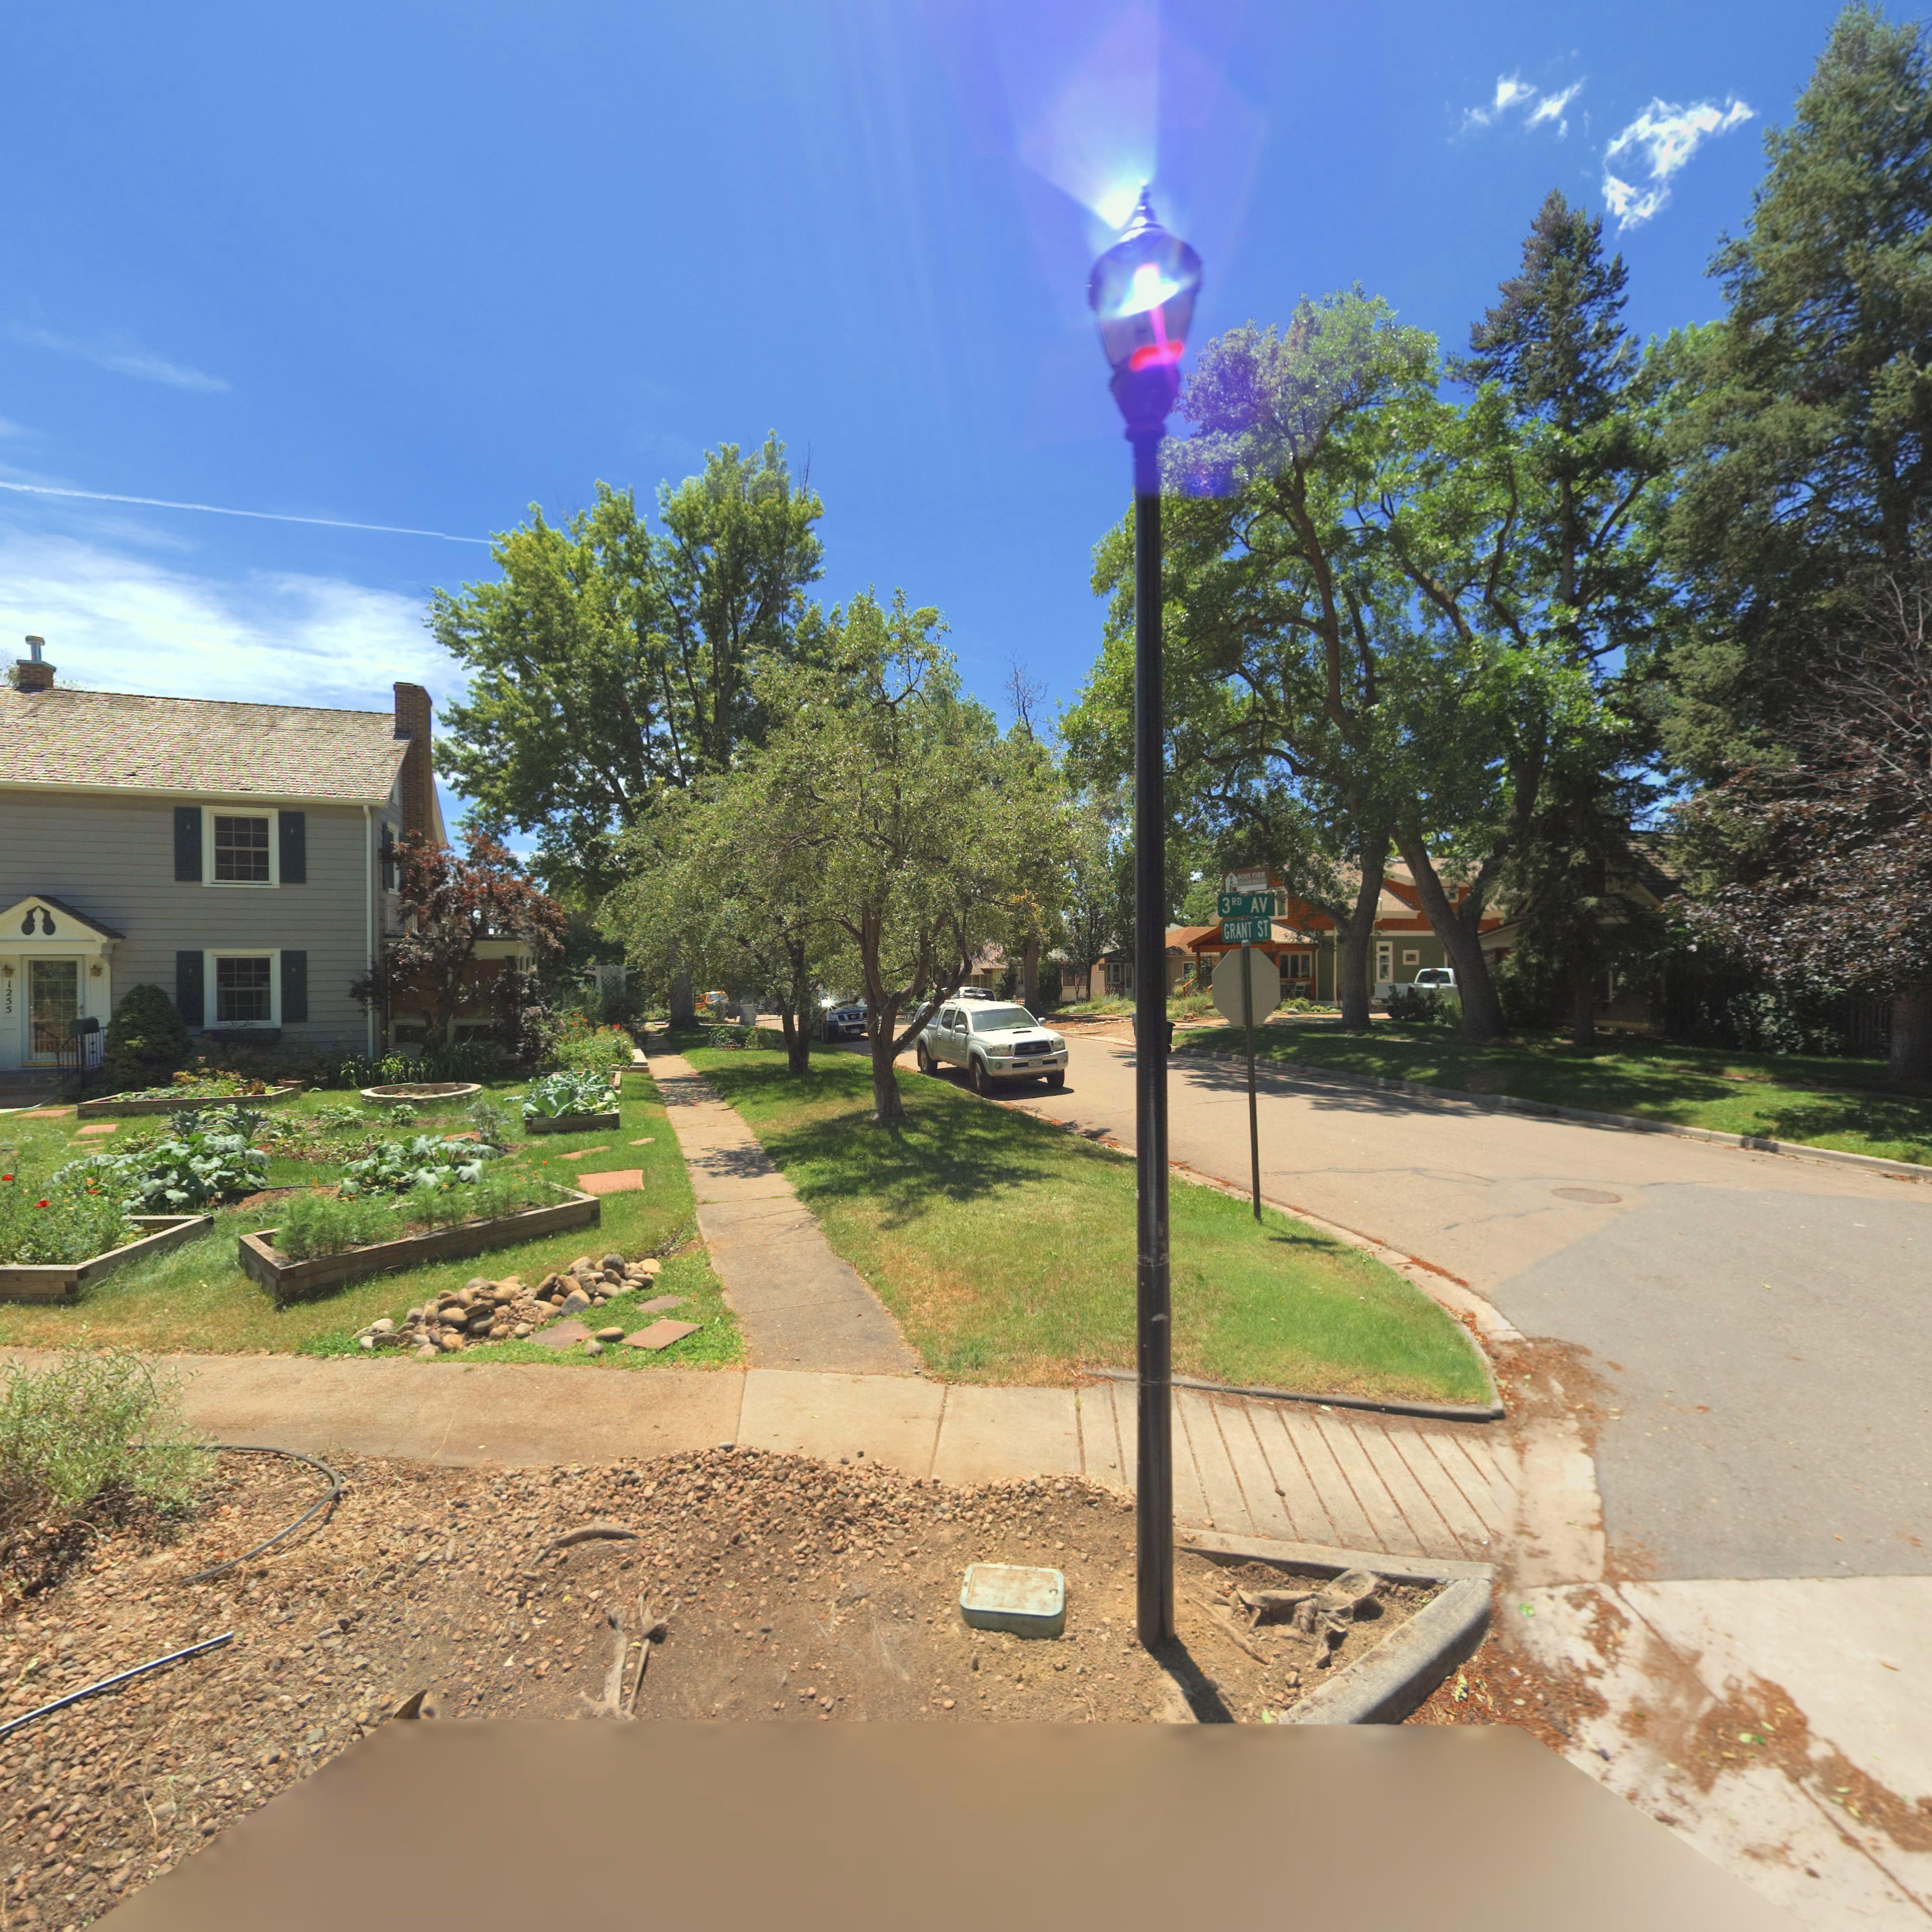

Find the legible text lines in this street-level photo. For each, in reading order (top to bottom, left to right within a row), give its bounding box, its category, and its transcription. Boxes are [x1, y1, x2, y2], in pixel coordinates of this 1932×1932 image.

[1221, 897, 1268, 914] StreetName: 3RD AV
[1223, 919, 1268, 939] StreetName: GRANT ST
[4, 979, 12, 1014] StreetNumber: 1255